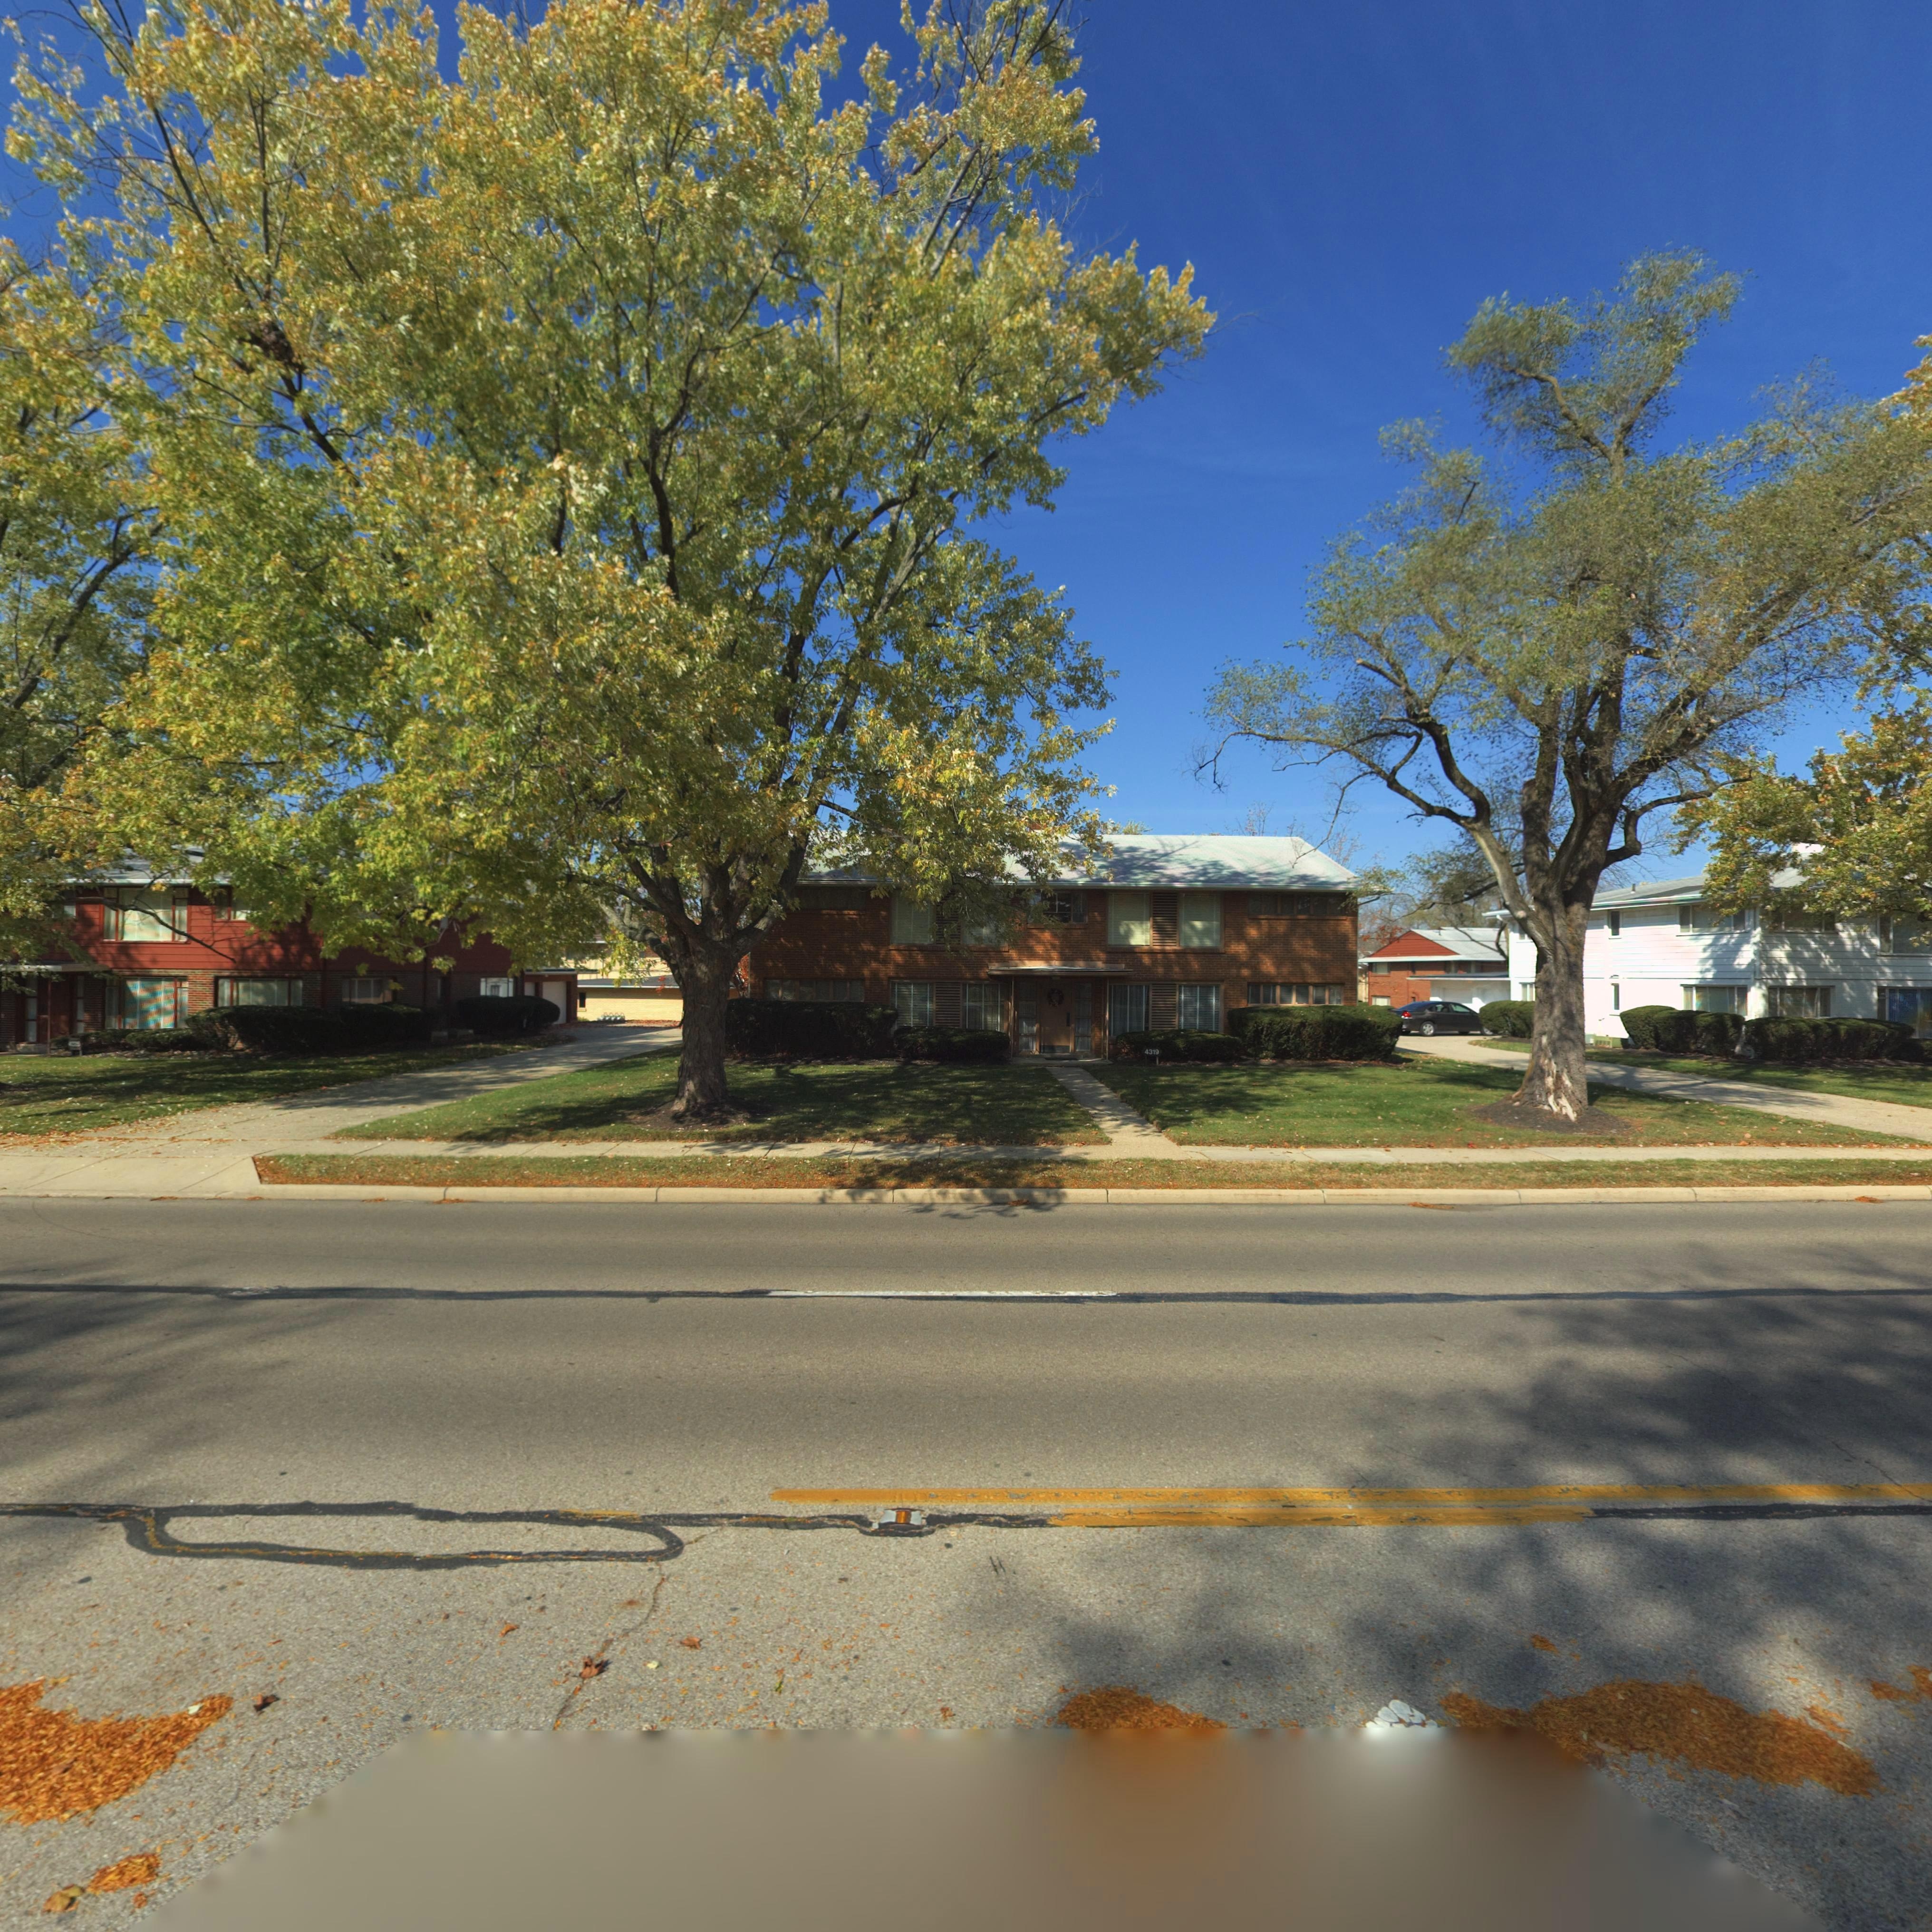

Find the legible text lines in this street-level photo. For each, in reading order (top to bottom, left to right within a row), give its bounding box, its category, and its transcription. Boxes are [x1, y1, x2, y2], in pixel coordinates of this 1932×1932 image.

[1143, 1048, 1160, 1056] StreetNumber: 4319